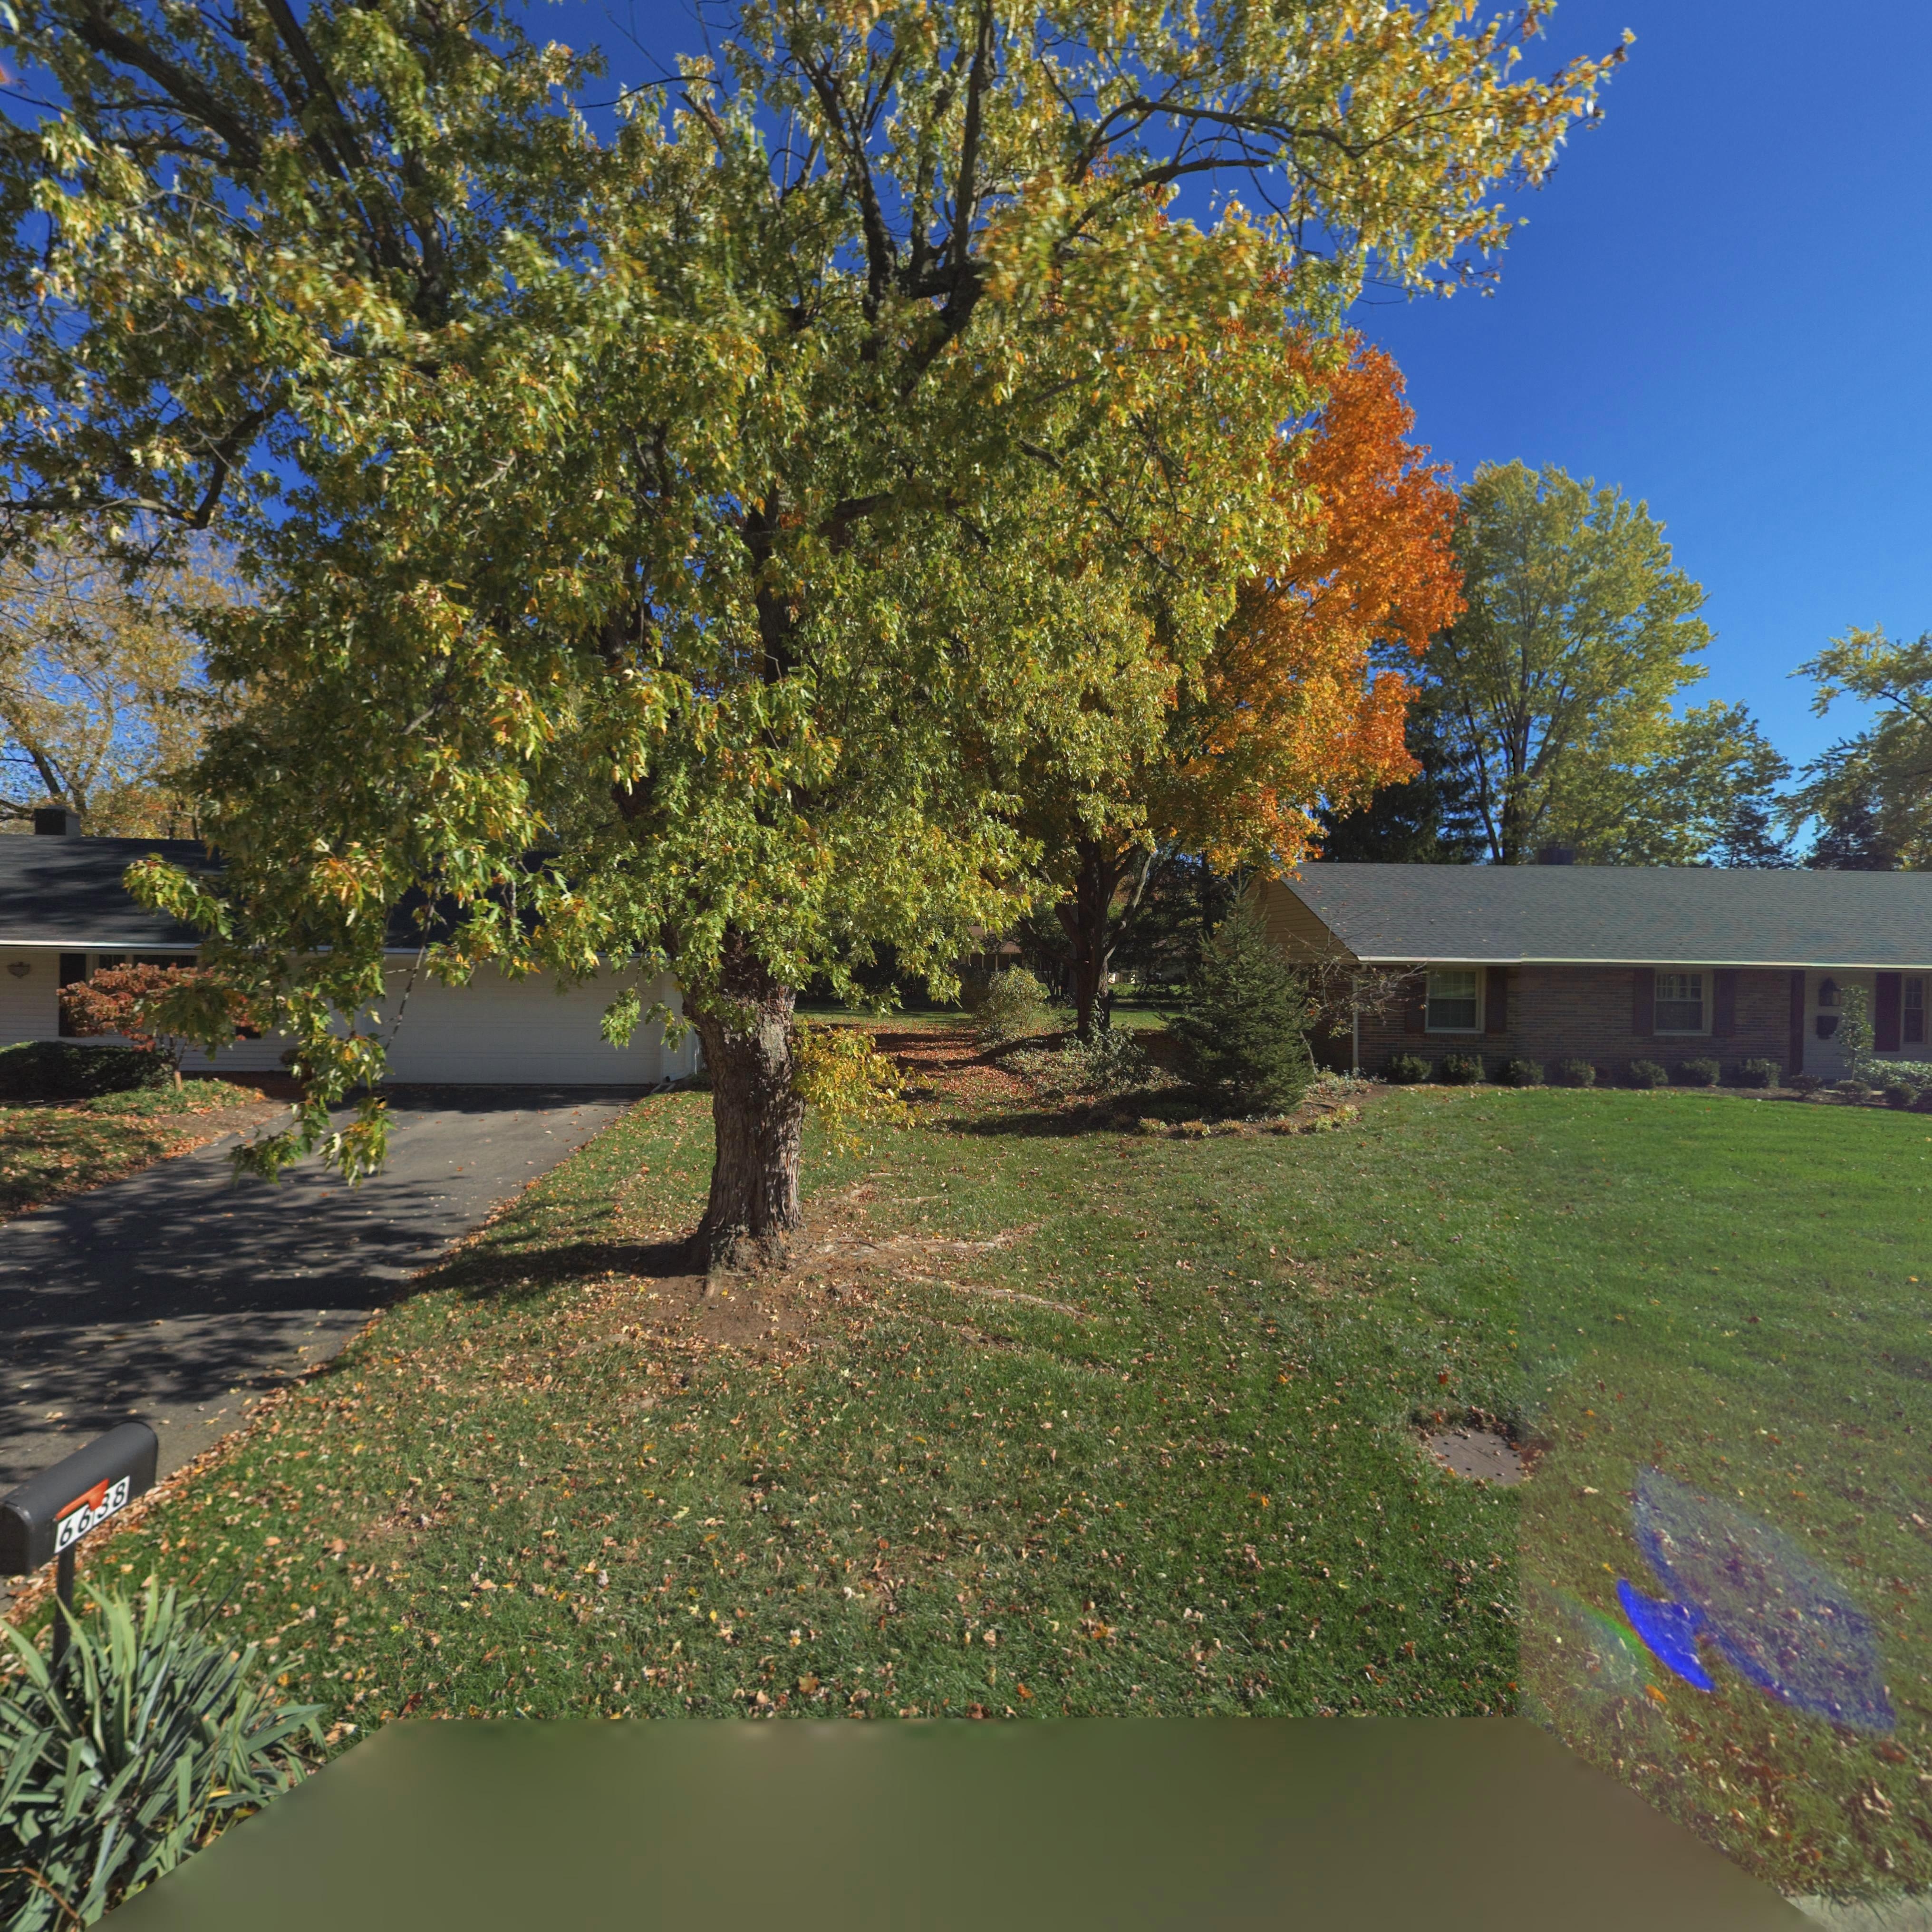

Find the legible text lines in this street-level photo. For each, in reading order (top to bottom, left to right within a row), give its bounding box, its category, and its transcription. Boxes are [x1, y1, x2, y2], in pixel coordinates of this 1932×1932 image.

[58, 1479, 126, 1546] StreetNumber: 6638